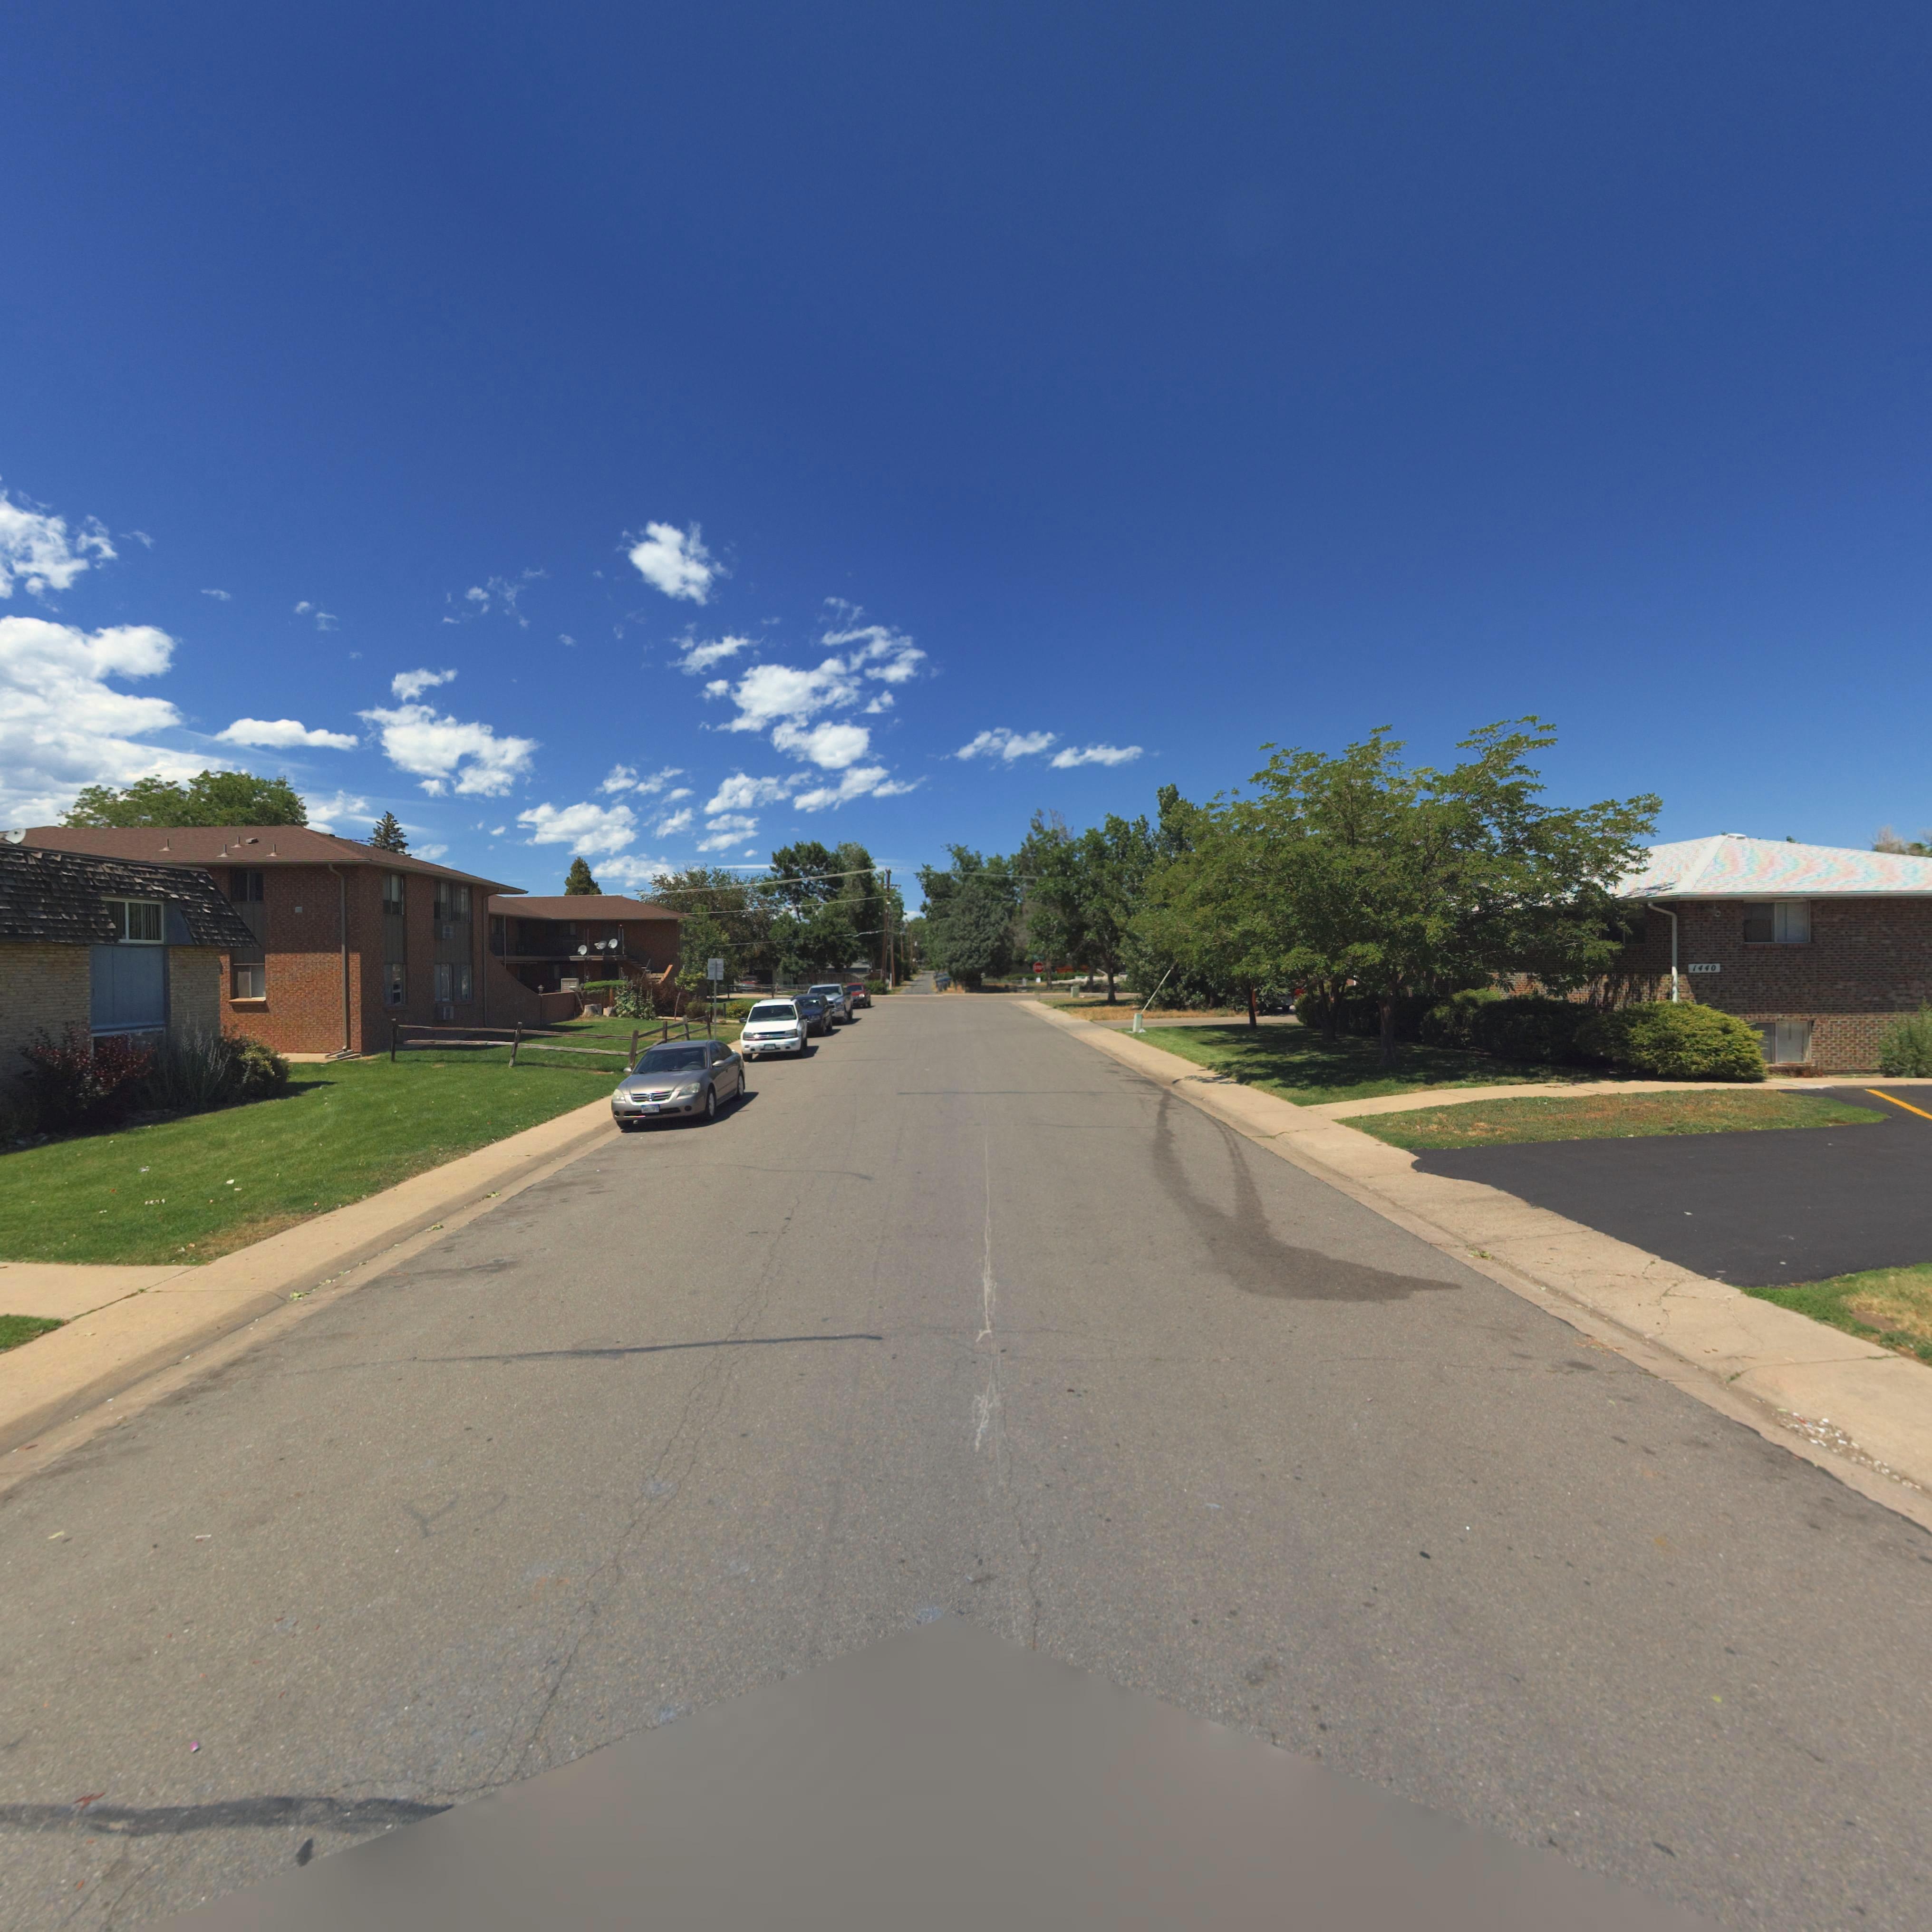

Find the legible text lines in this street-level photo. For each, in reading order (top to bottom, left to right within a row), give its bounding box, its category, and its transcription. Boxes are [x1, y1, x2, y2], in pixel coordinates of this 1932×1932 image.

[1692, 964, 1716, 971] StreetNumber: 1440